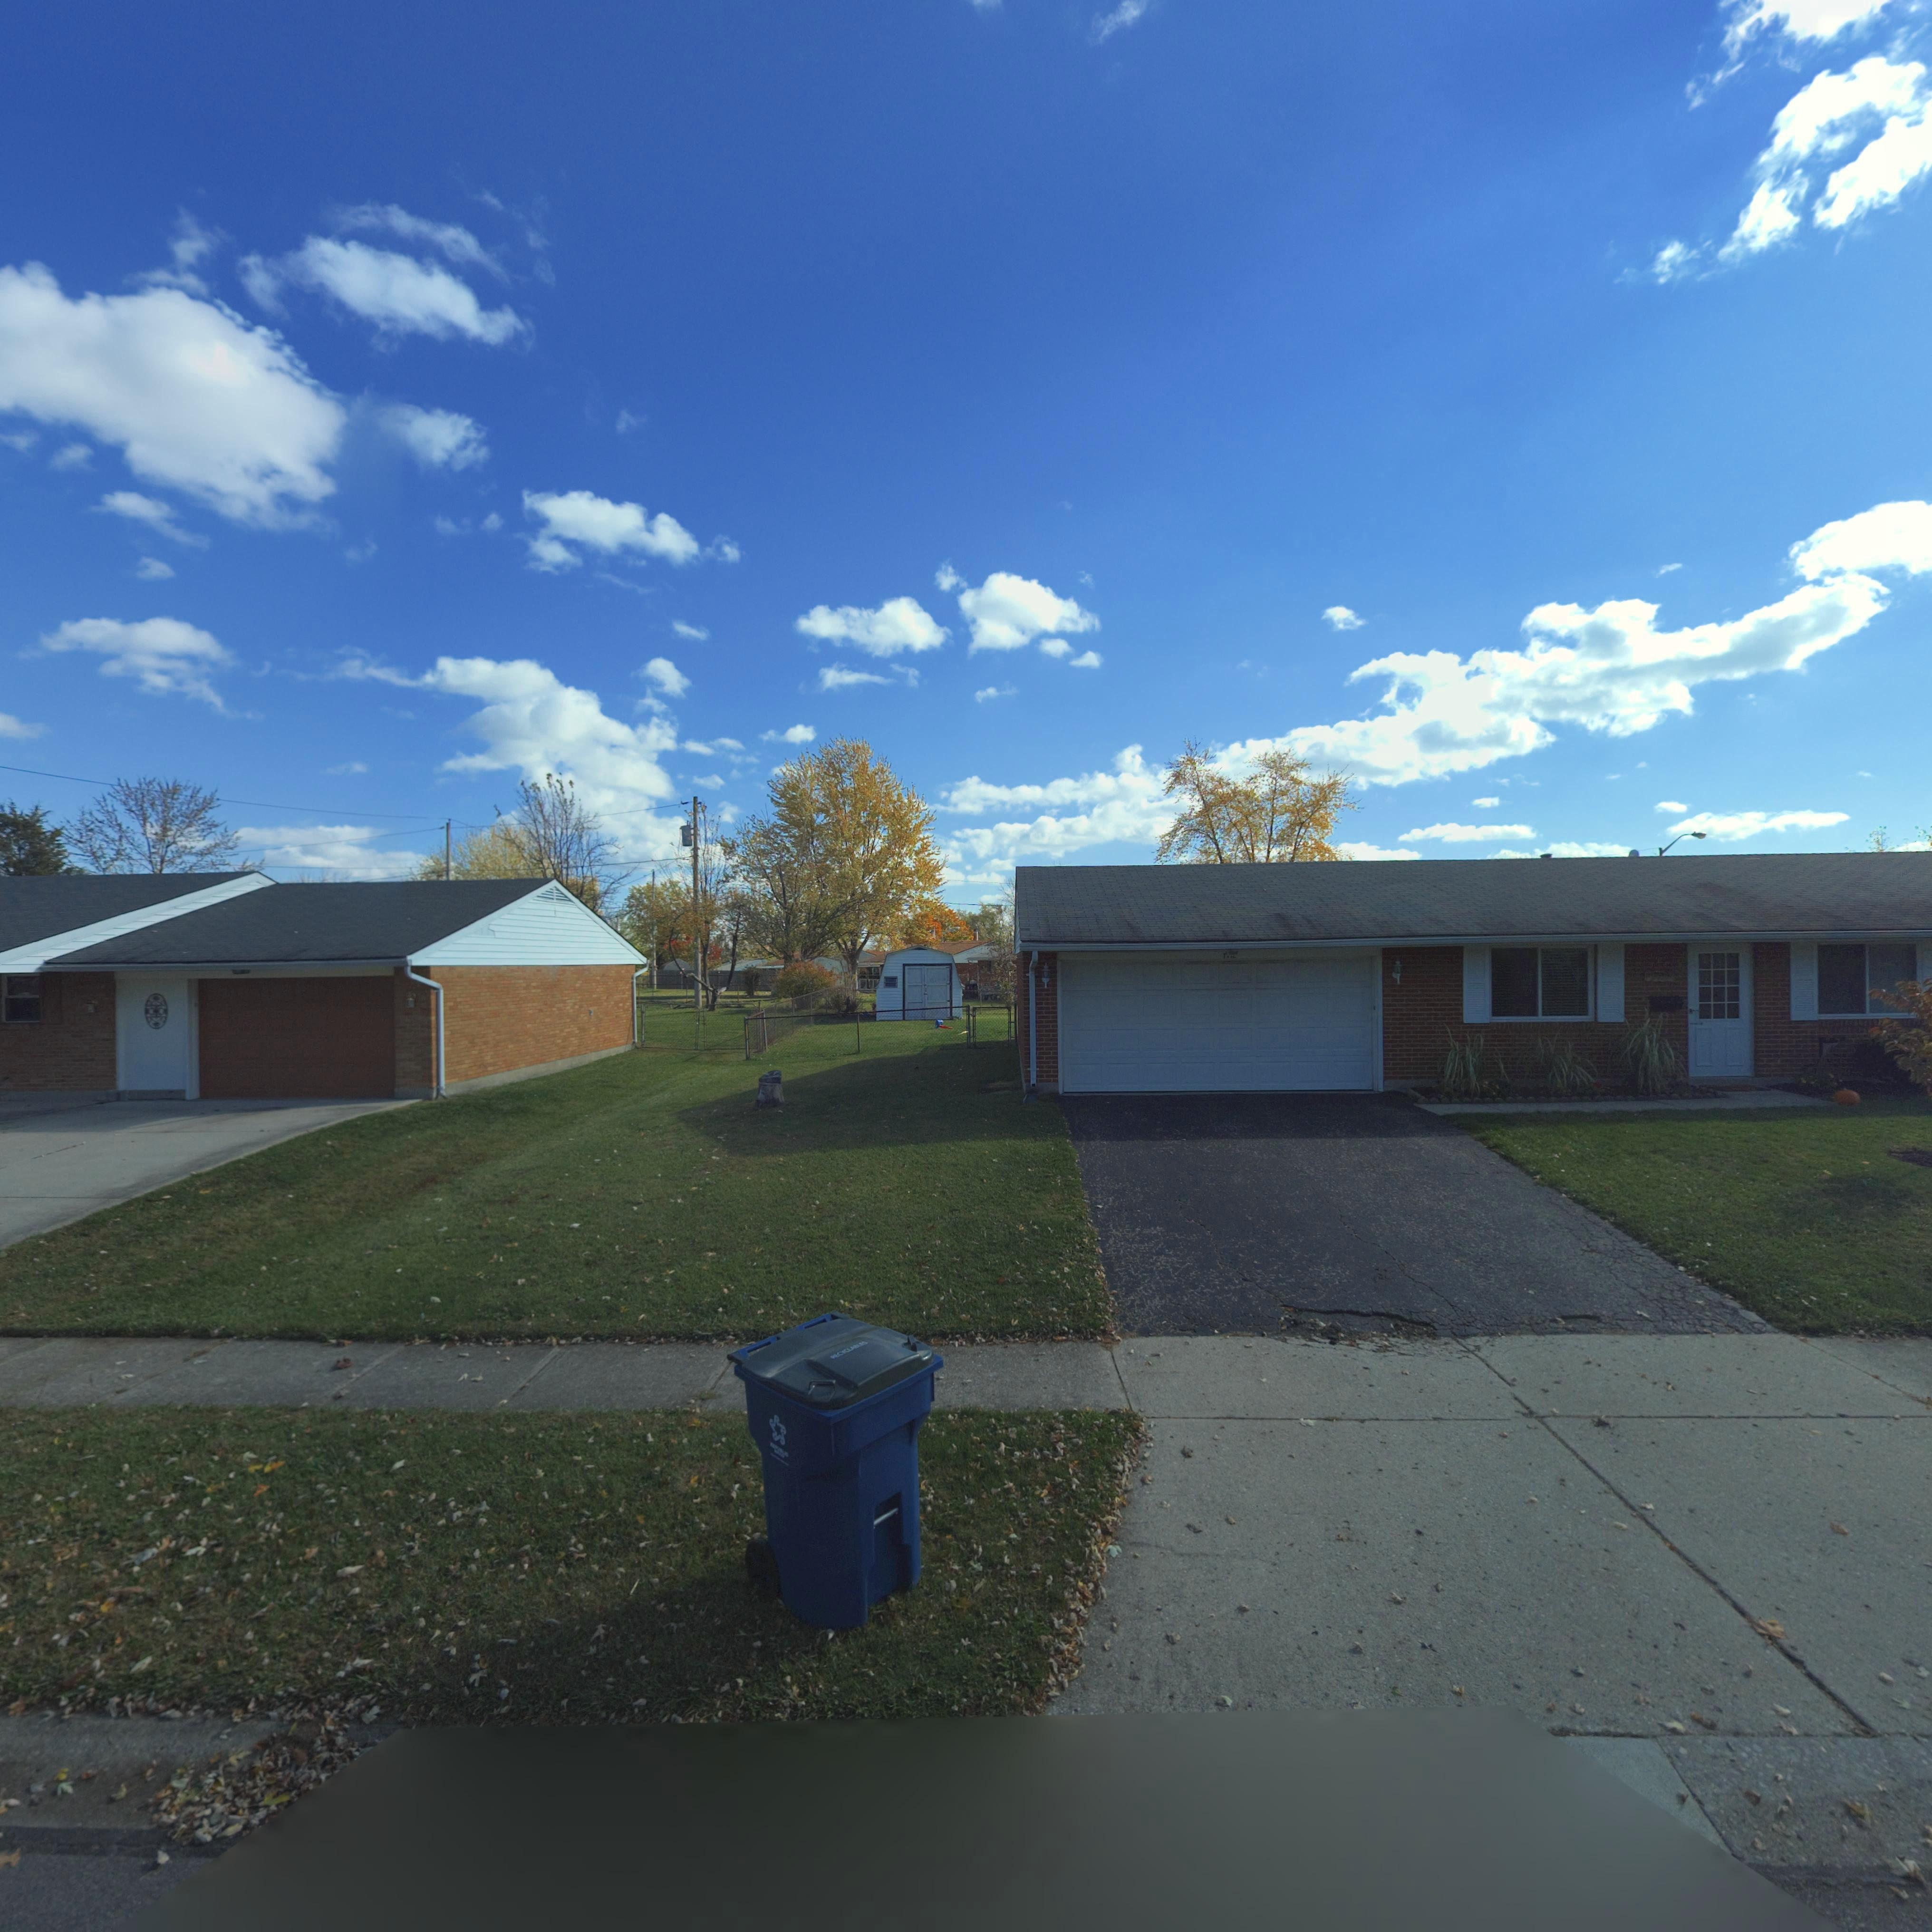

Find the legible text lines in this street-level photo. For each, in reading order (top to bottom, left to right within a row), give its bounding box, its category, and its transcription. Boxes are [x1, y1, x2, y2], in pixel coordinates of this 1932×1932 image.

[1222, 952, 1227, 960] StreetNumber: 7